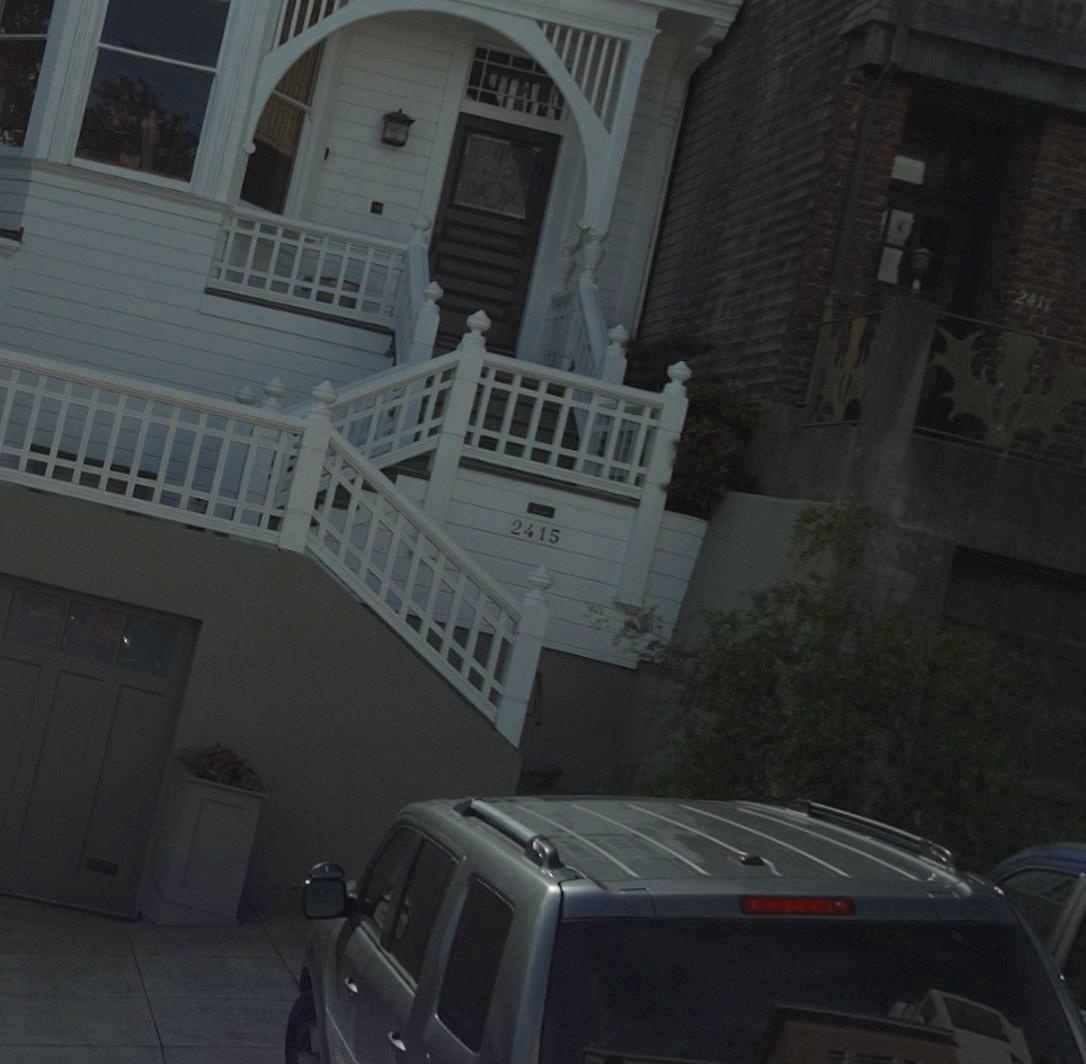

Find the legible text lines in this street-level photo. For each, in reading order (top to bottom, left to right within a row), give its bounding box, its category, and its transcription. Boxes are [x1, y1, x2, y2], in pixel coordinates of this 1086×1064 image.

[1010, 287, 1058, 316] StreetNumber: 2417
[506, 516, 563, 548] StreetNumber: 2415